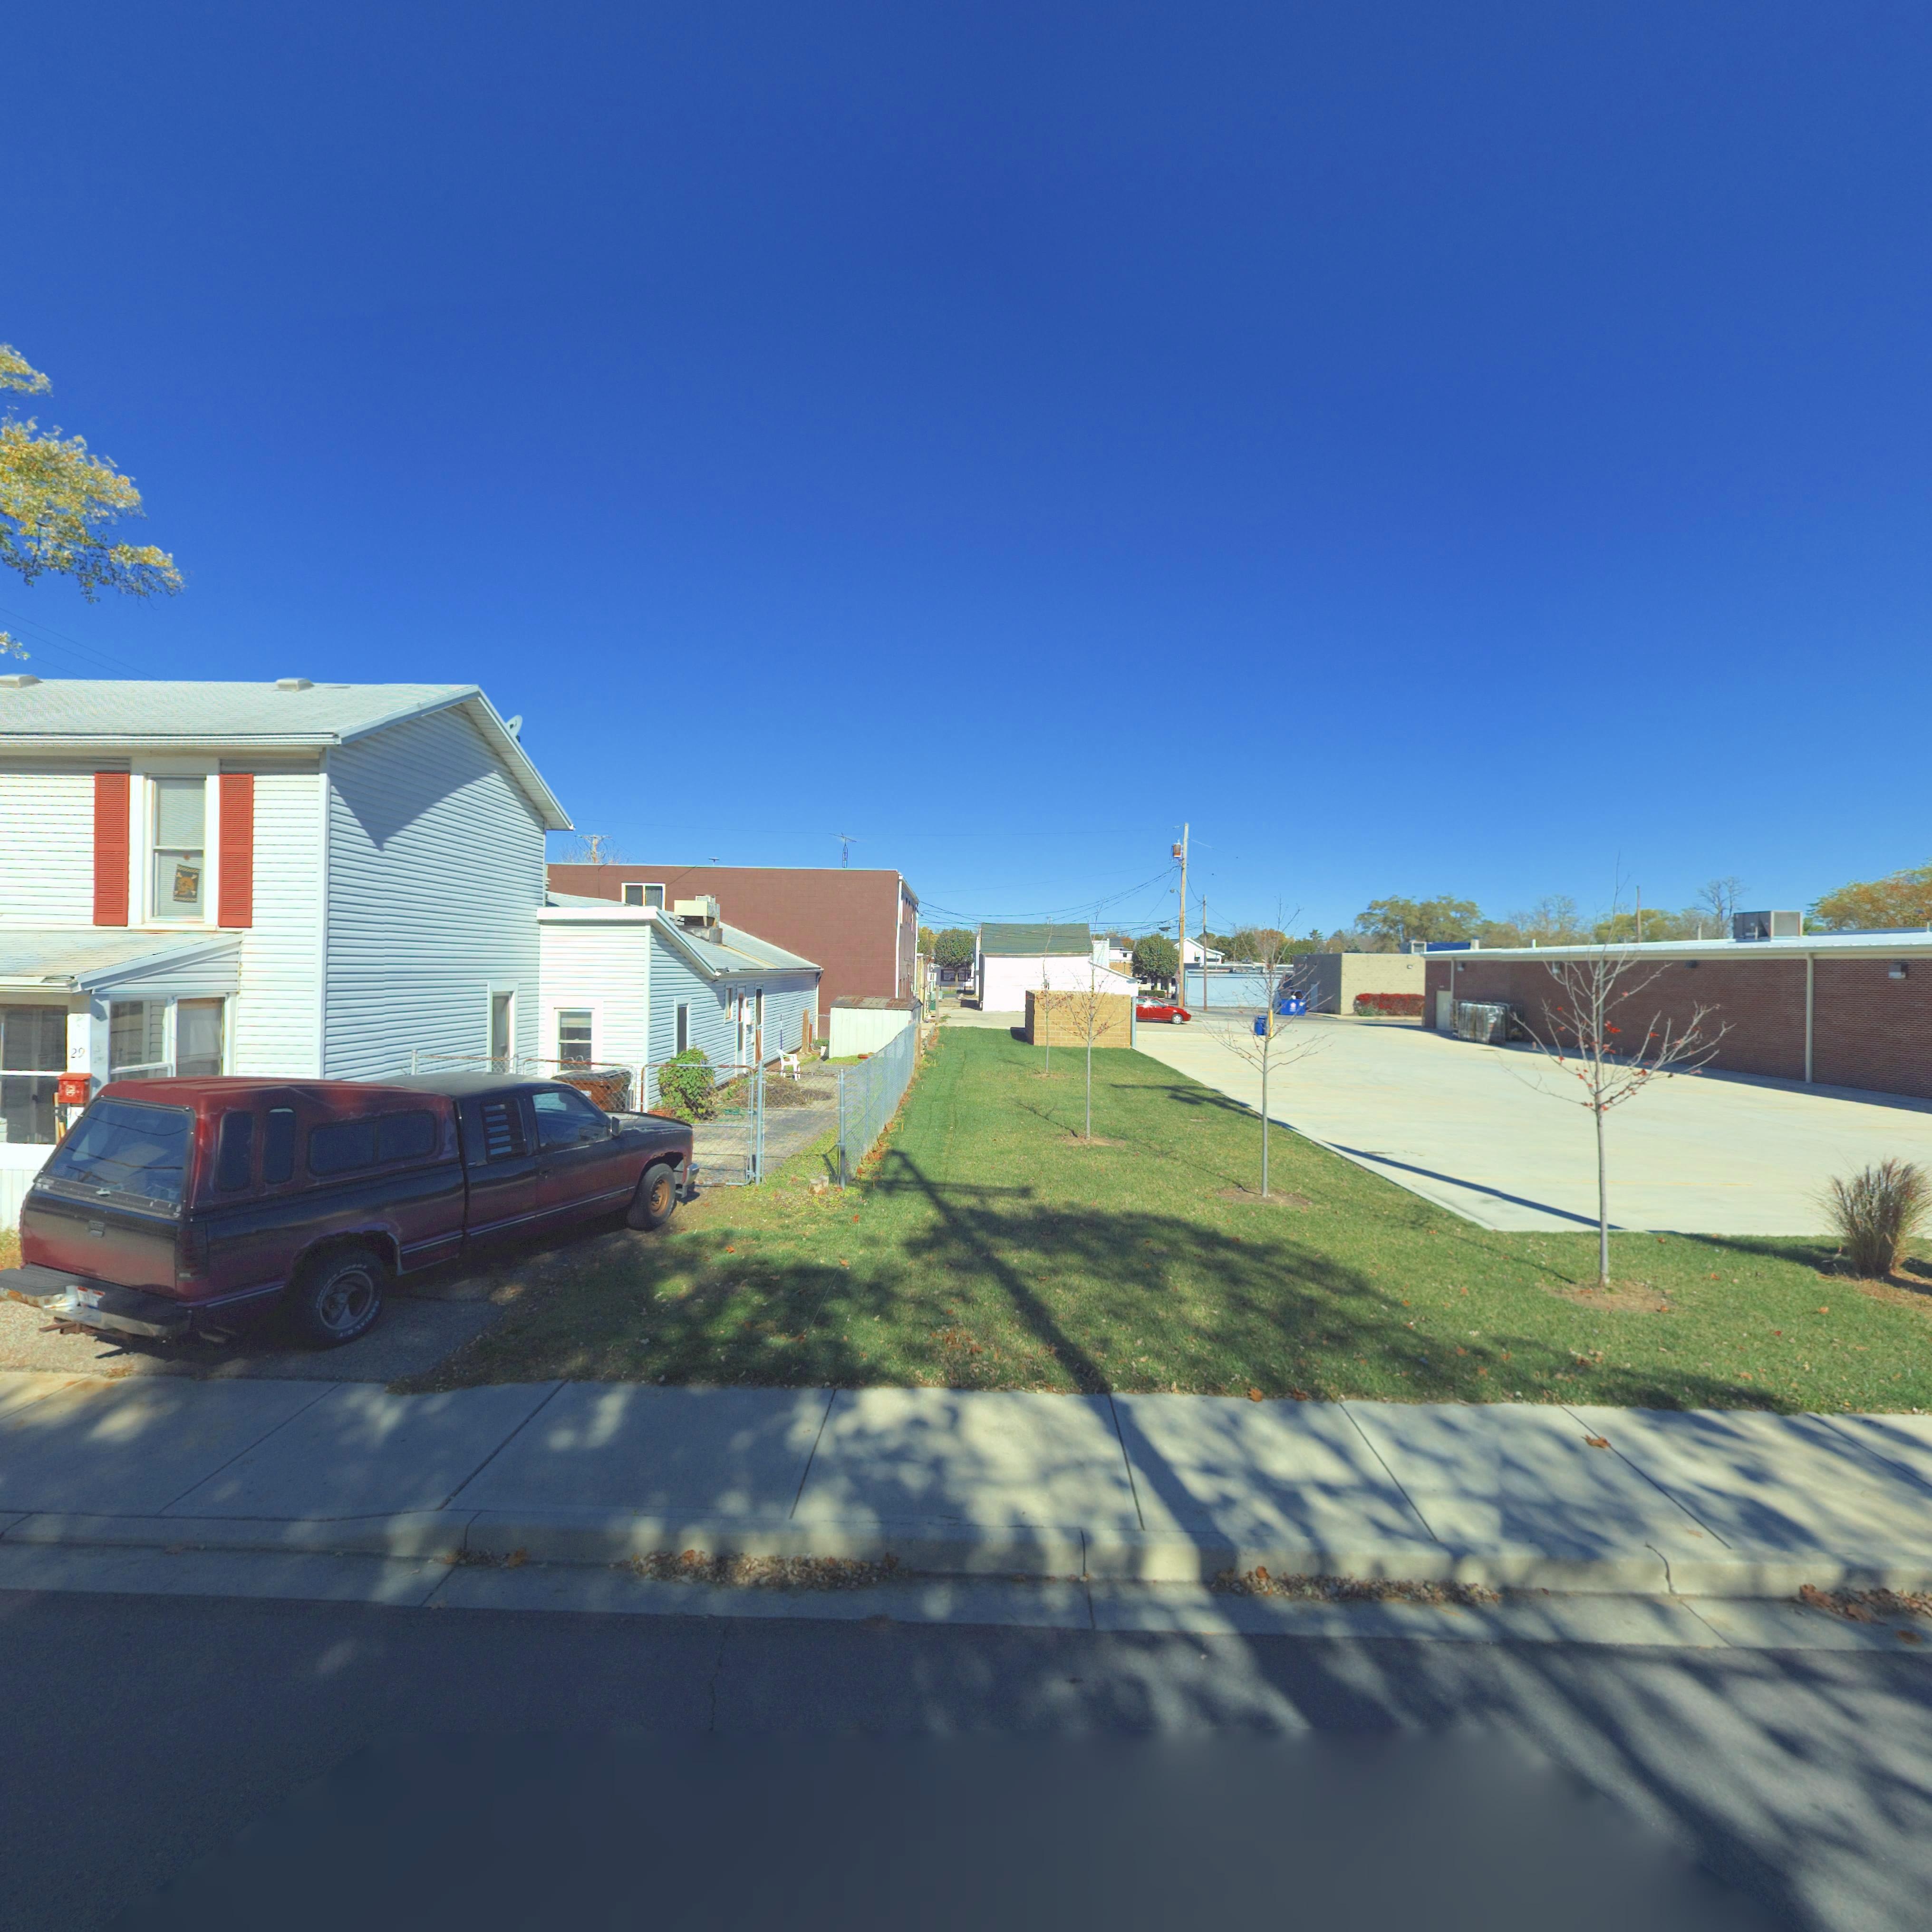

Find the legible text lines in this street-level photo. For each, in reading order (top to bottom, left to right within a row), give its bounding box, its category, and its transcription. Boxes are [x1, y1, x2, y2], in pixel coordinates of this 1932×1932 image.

[70, 1047, 85, 1059] StreetNumber: 29